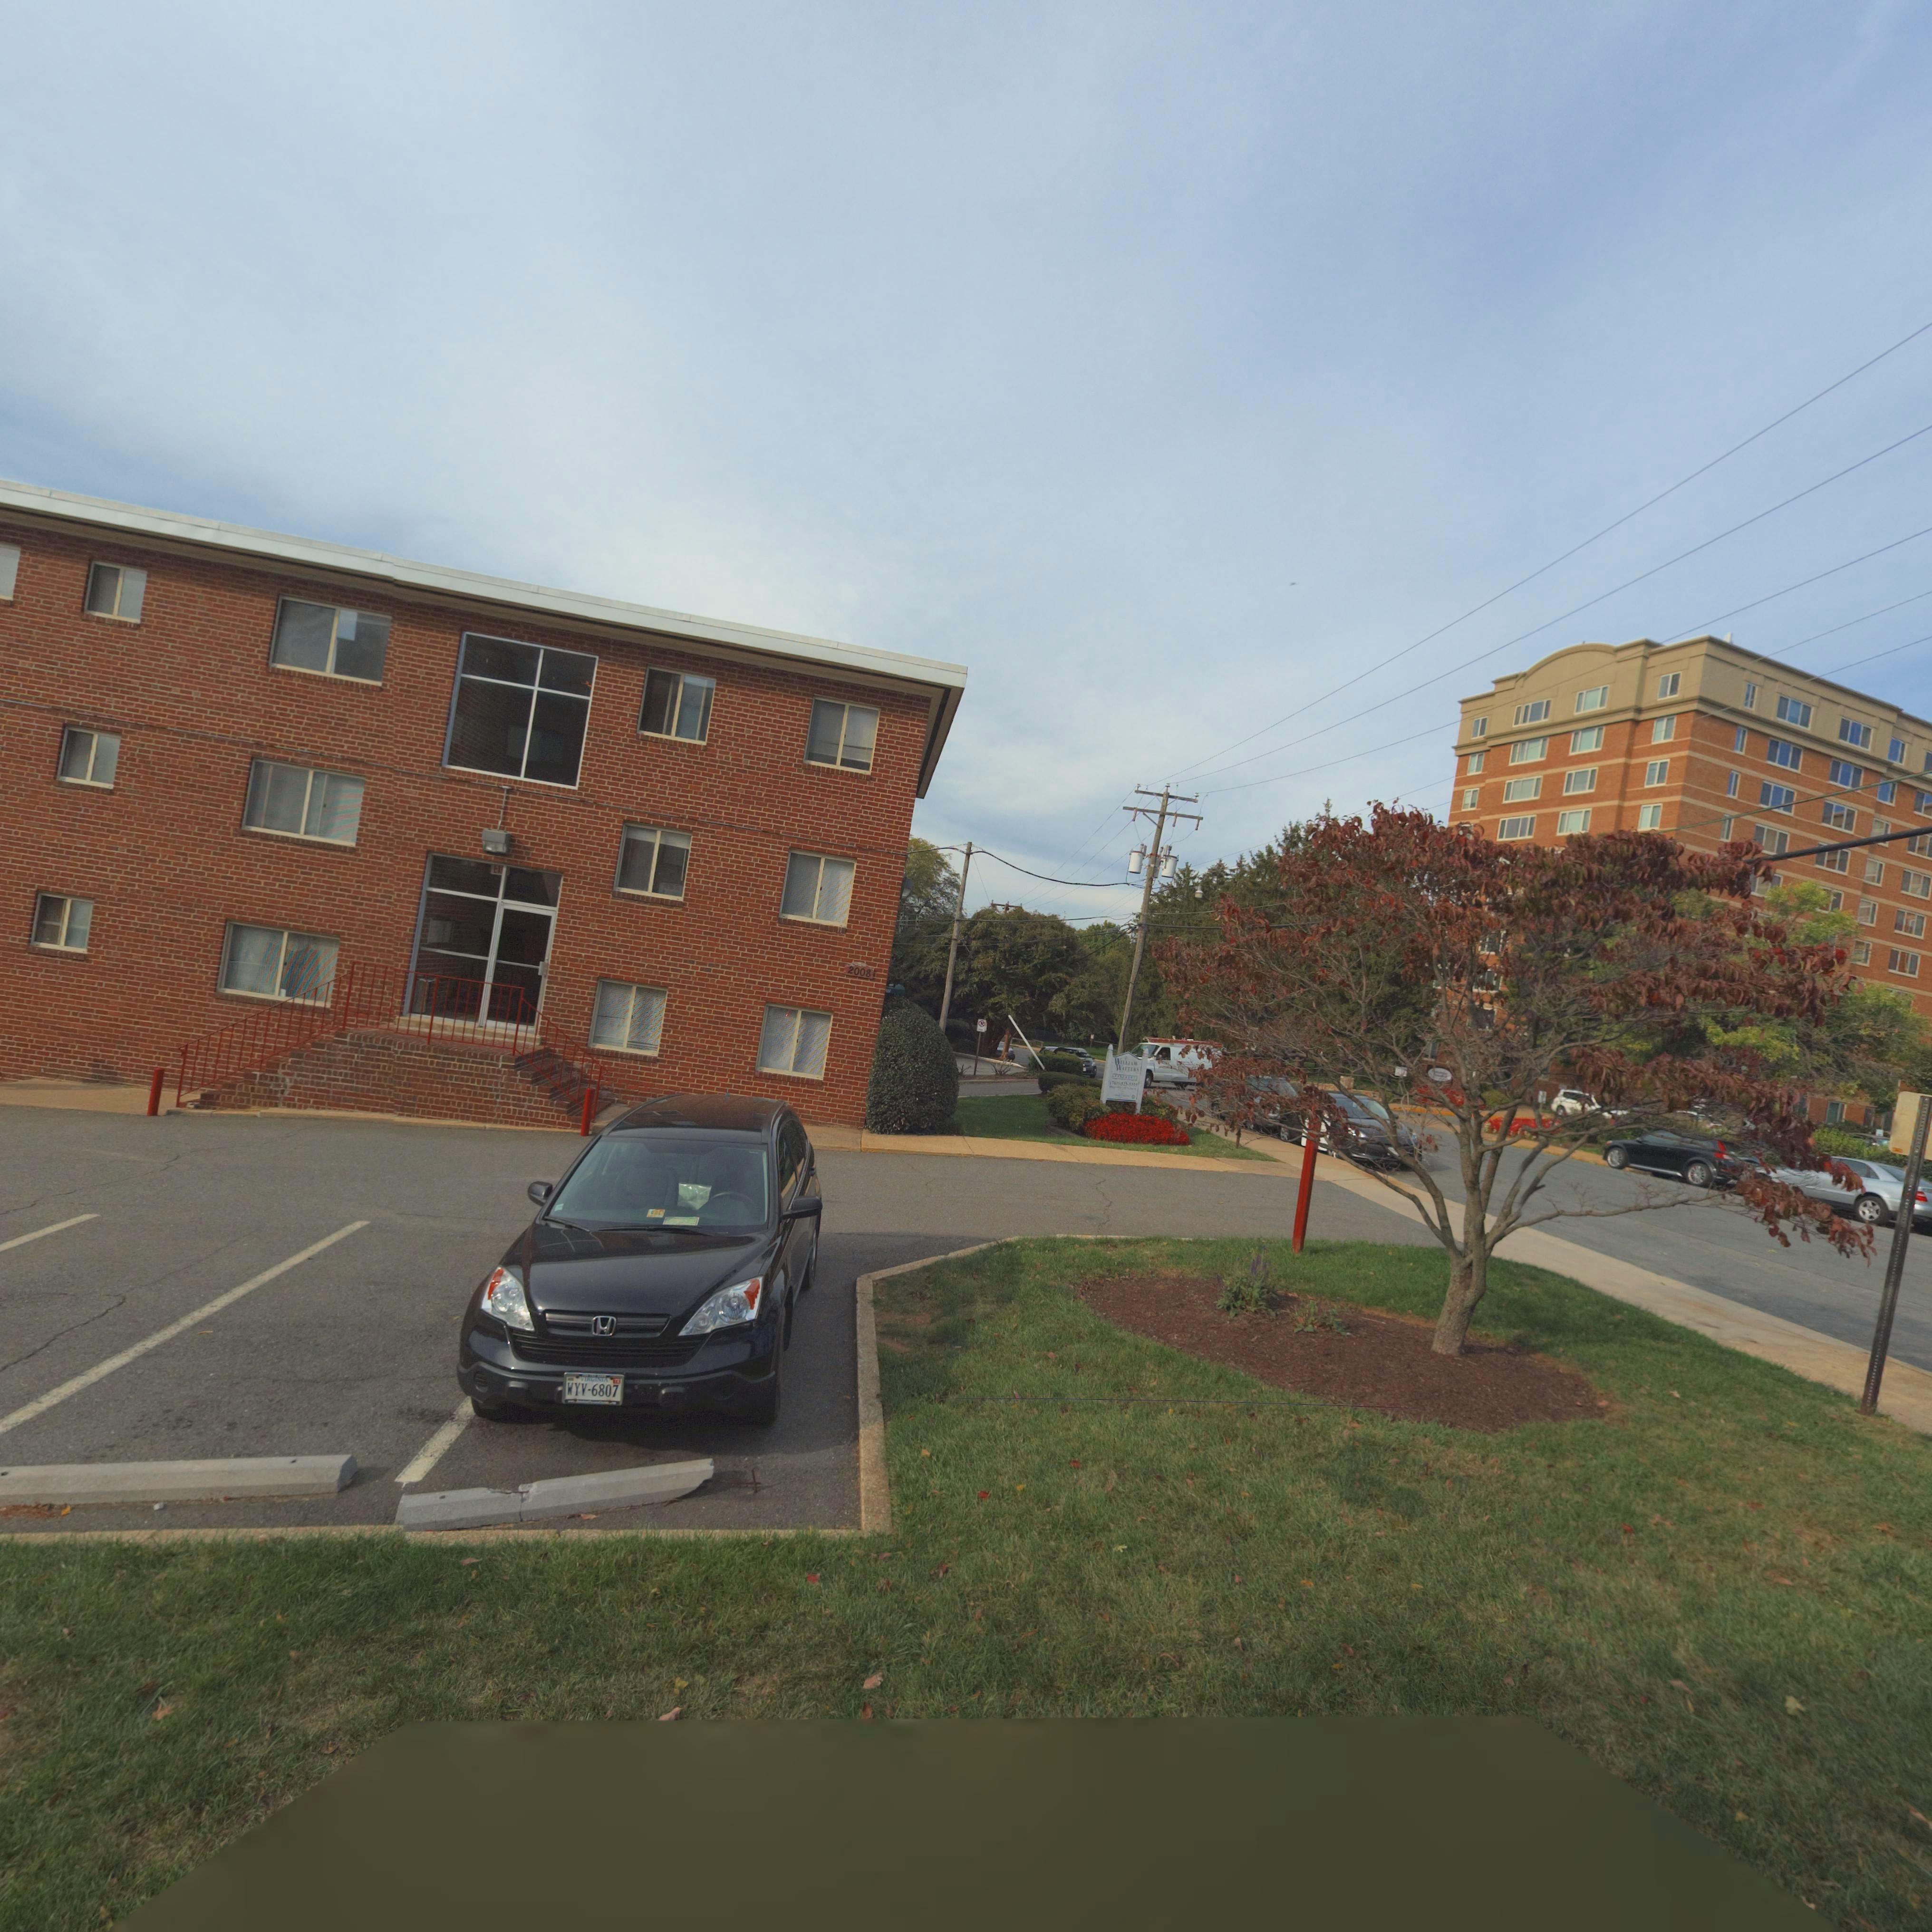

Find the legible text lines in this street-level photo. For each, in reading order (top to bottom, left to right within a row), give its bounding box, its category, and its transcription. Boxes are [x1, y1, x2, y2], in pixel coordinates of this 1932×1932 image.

[493, 864, 502, 874] None: EX
[847, 965, 872, 978] StreetNumber: 2008
[1115, 1058, 1138, 1066] BusinessName: WE****
[1115, 1064, 1140, 1072] BusinessName: W****
[580, 1376, 609, 1382] None: VIRGINIA
[614, 1379, 620, 1383] None: 14
[567, 1382, 619, 1398] None: WYC-6807